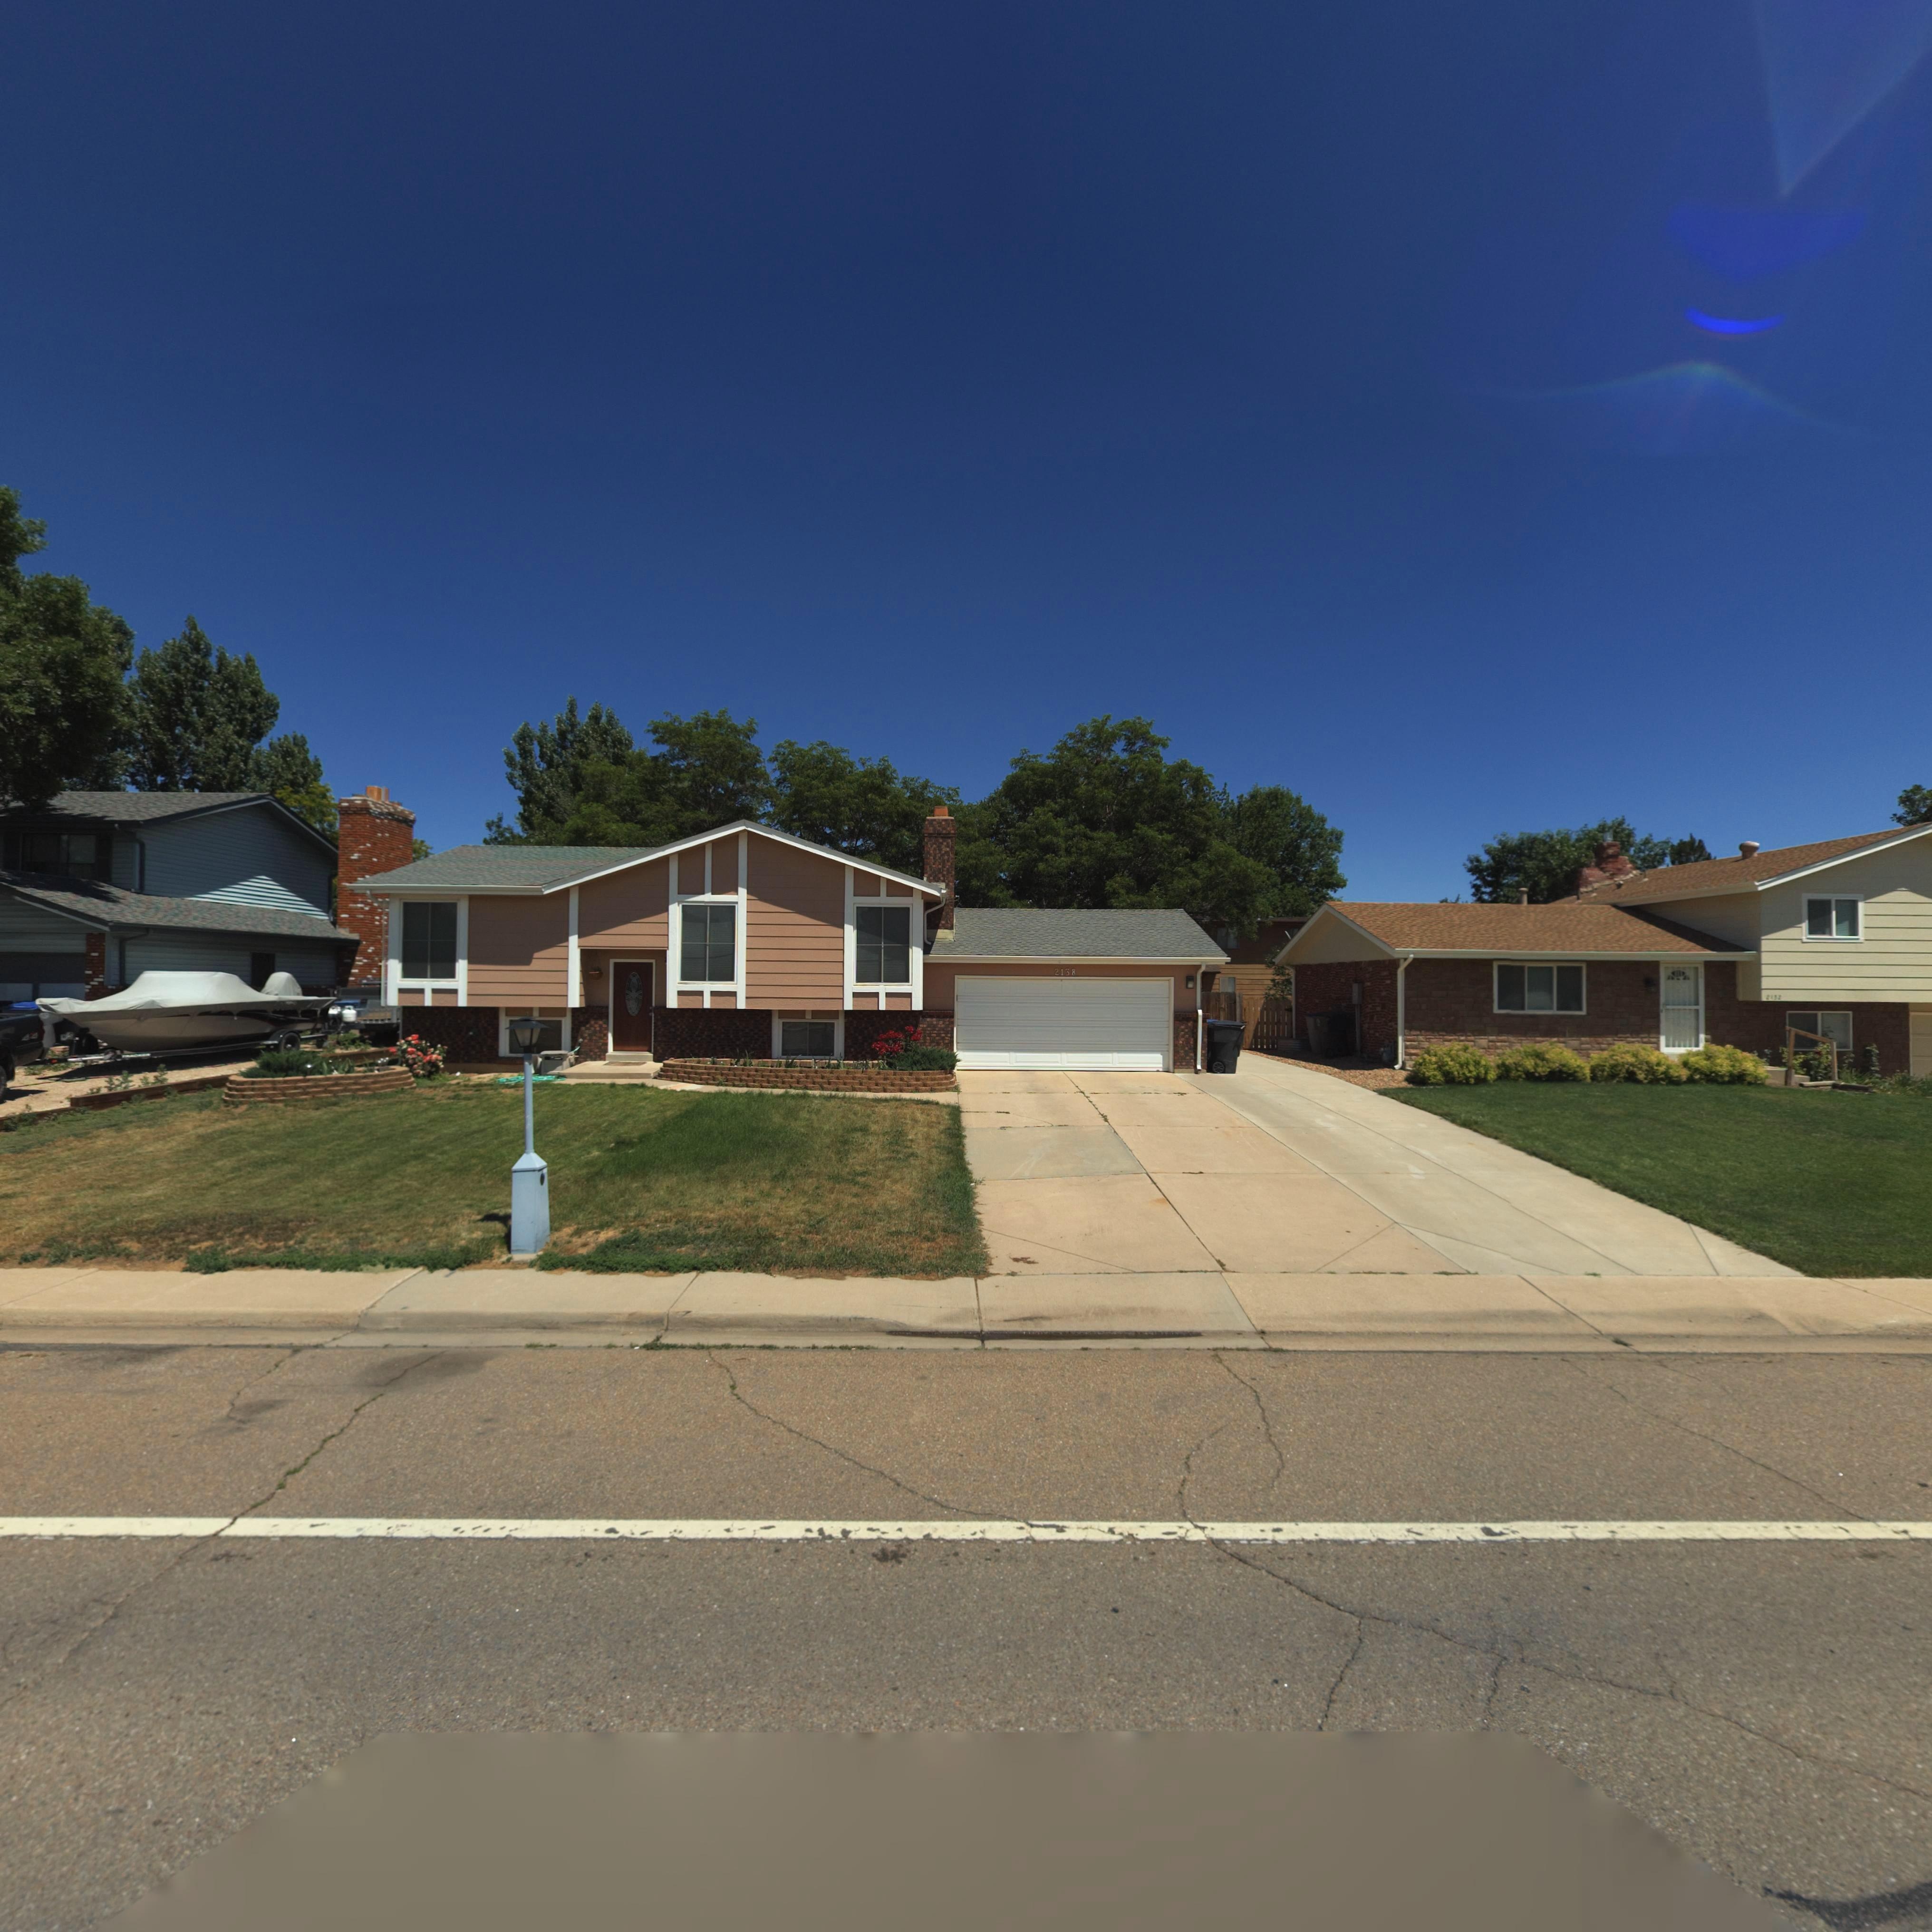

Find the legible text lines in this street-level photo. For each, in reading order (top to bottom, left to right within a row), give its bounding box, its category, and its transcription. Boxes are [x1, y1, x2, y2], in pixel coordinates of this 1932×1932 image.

[1053, 967, 1076, 978] StreetNumber: 2138
[1765, 993, 1782, 1000] StreetNumber: 2132